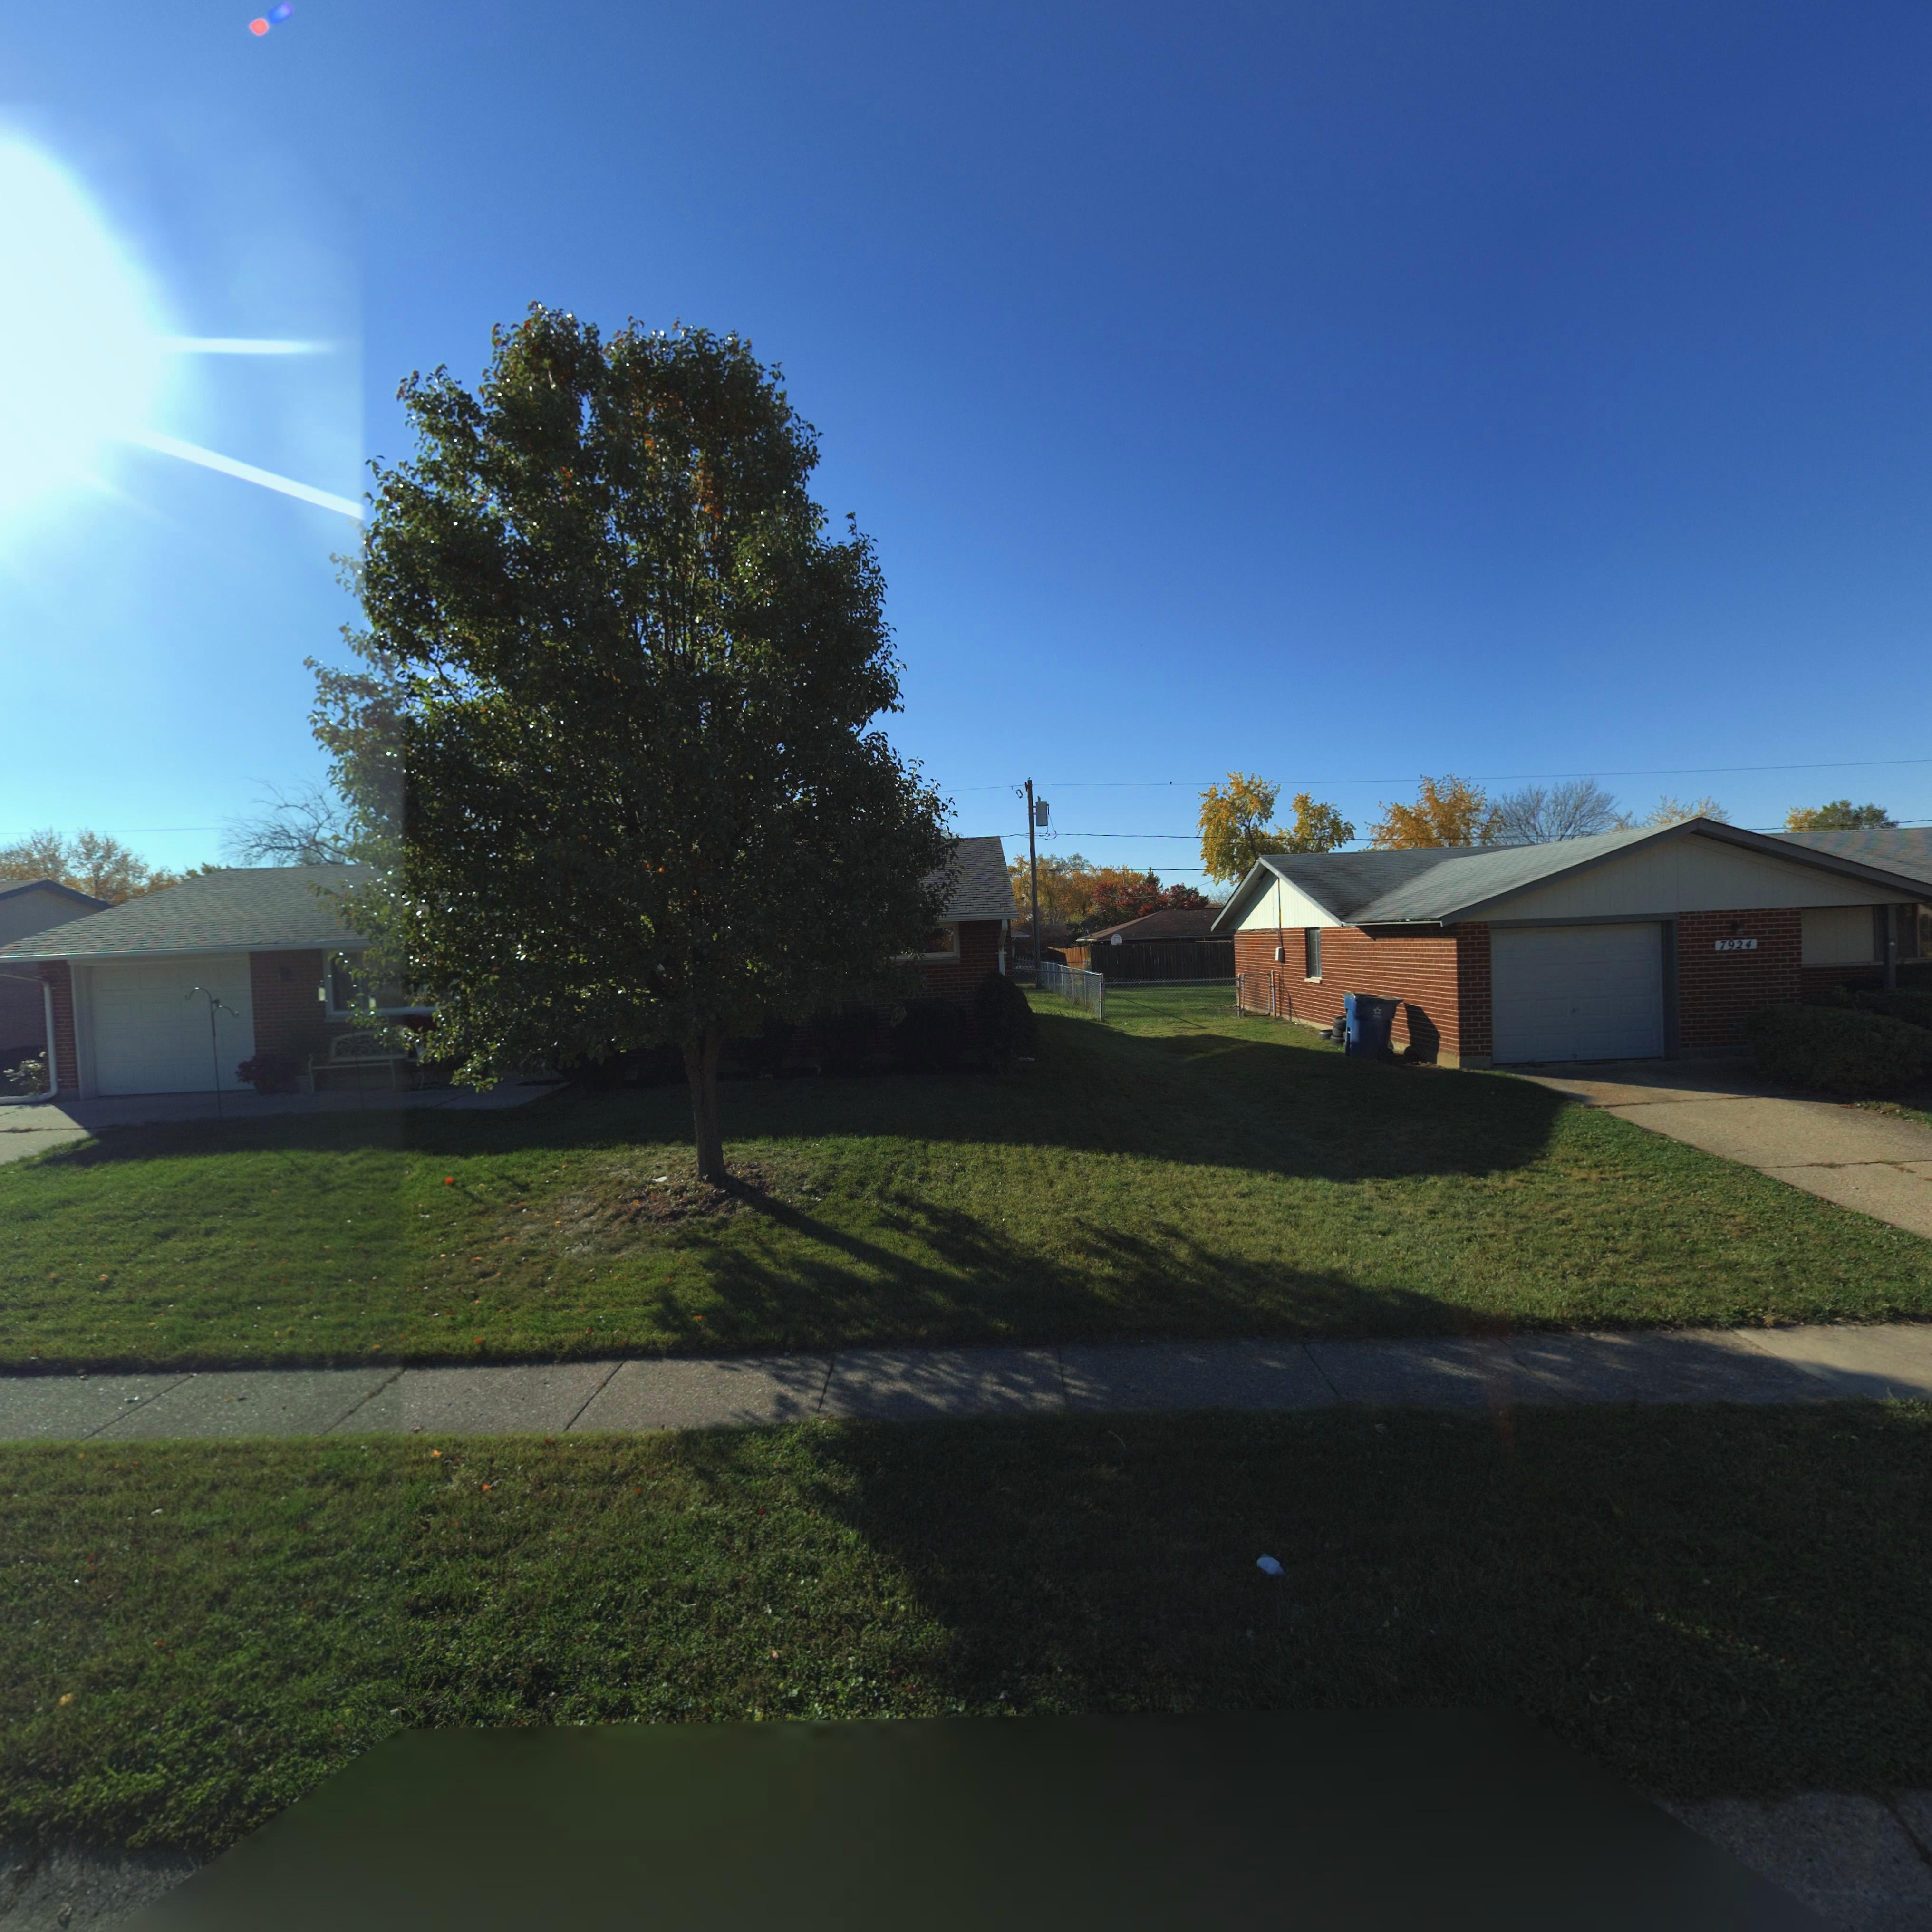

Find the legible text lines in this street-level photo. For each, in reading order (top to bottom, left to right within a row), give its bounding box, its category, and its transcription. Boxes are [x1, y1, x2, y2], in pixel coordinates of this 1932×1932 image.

[1719, 939, 1753, 951] StreetNumber: 7924